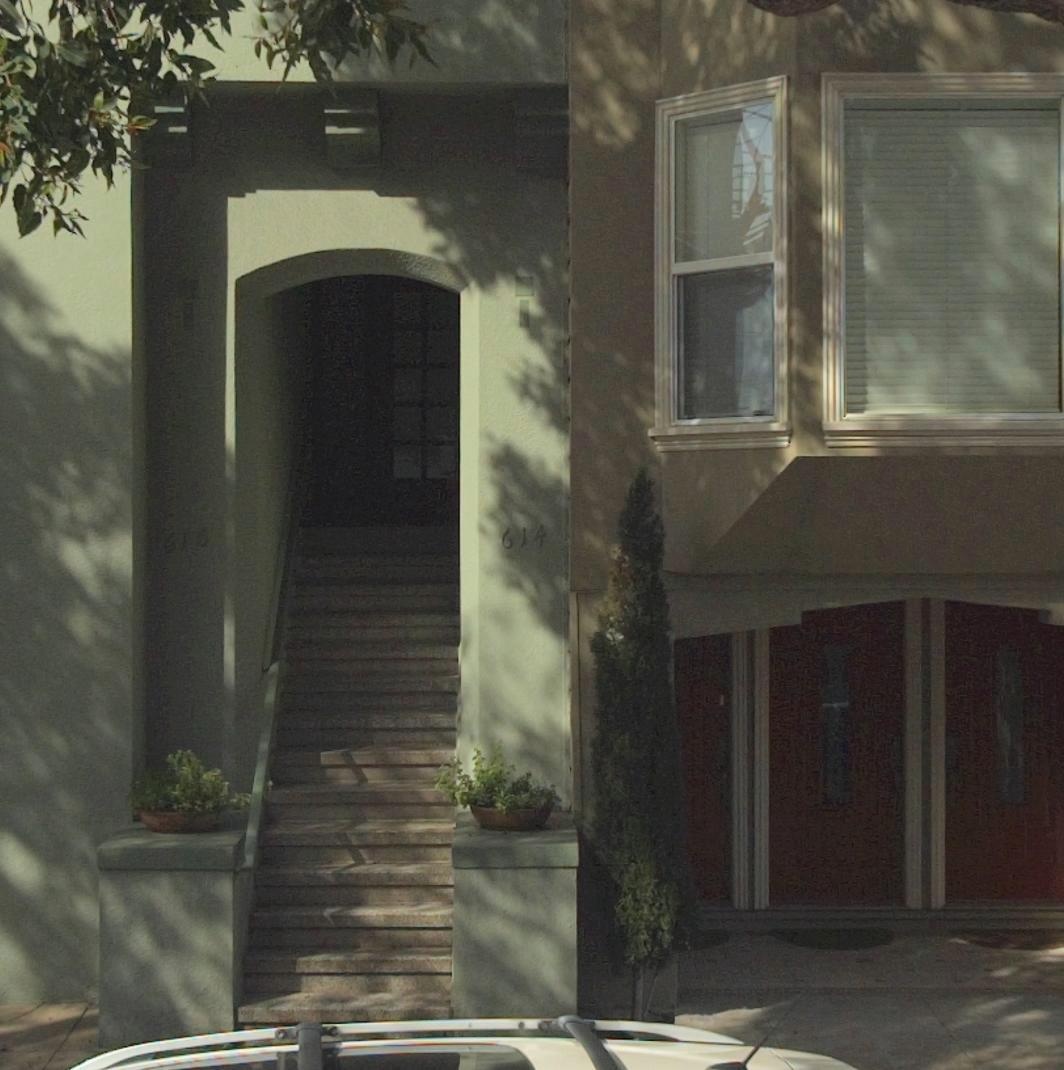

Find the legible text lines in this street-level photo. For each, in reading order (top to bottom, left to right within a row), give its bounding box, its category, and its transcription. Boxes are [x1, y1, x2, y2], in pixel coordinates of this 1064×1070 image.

[160, 526, 210, 553] StreetNumber: 616
[500, 522, 549, 552] StreetNumber: 614